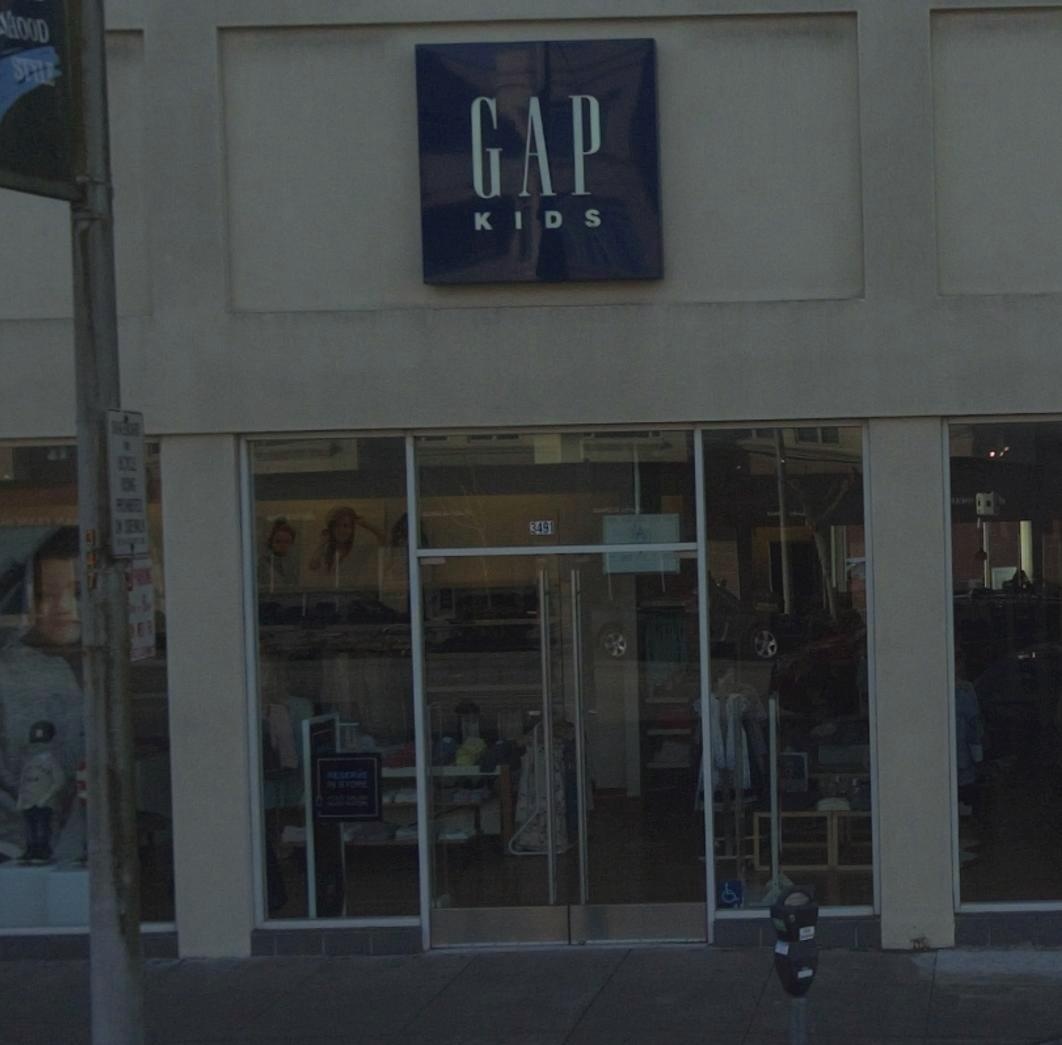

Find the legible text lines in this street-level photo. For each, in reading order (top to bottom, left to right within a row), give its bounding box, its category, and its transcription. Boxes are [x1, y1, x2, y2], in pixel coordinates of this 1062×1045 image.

[11, 10, 53, 48] None: **D
[6, 49, 60, 92] None: STYLE
[468, 92, 604, 201] BusinessName: GAP
[470, 206, 605, 233] BusinessName: KIDS
[529, 520, 555, 535] StreetNumber: 3491
[84, 527, 98, 592] None: 347